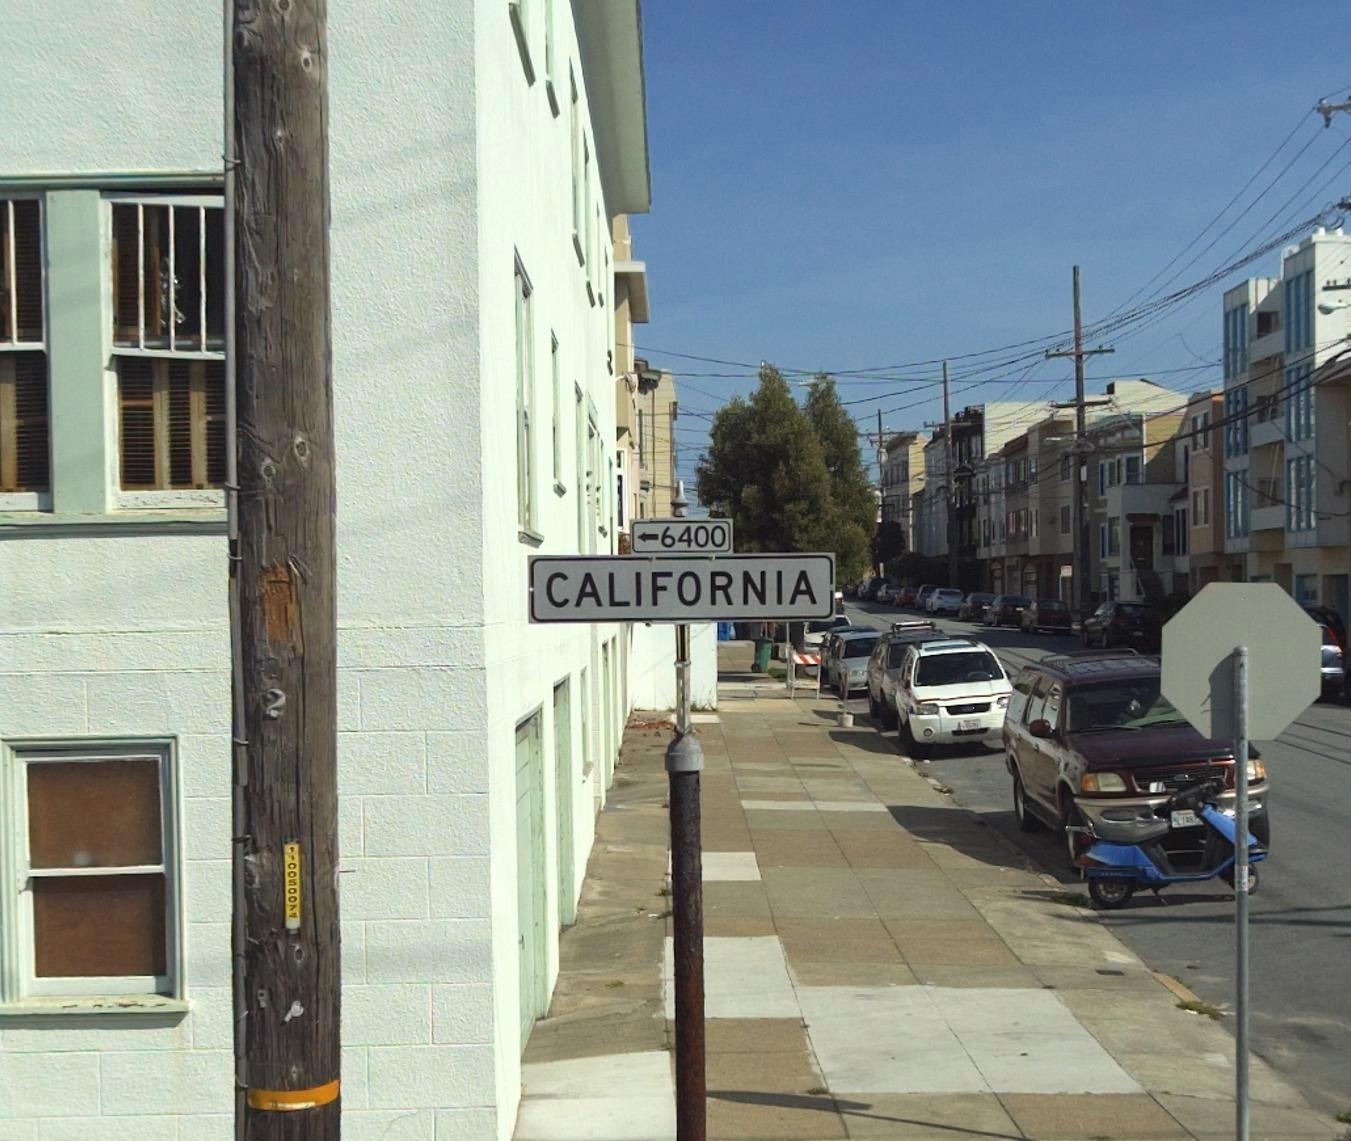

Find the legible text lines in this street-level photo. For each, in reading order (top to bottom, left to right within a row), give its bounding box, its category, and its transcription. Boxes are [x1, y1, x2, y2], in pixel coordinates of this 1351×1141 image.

[634, 521, 729, 549] StreetNumberRange: <-6400
[544, 564, 820, 616] StreetName: CALIFORNIA
[261, 685, 286, 719] None: 2
[282, 842, 298, 918] None: 110050074